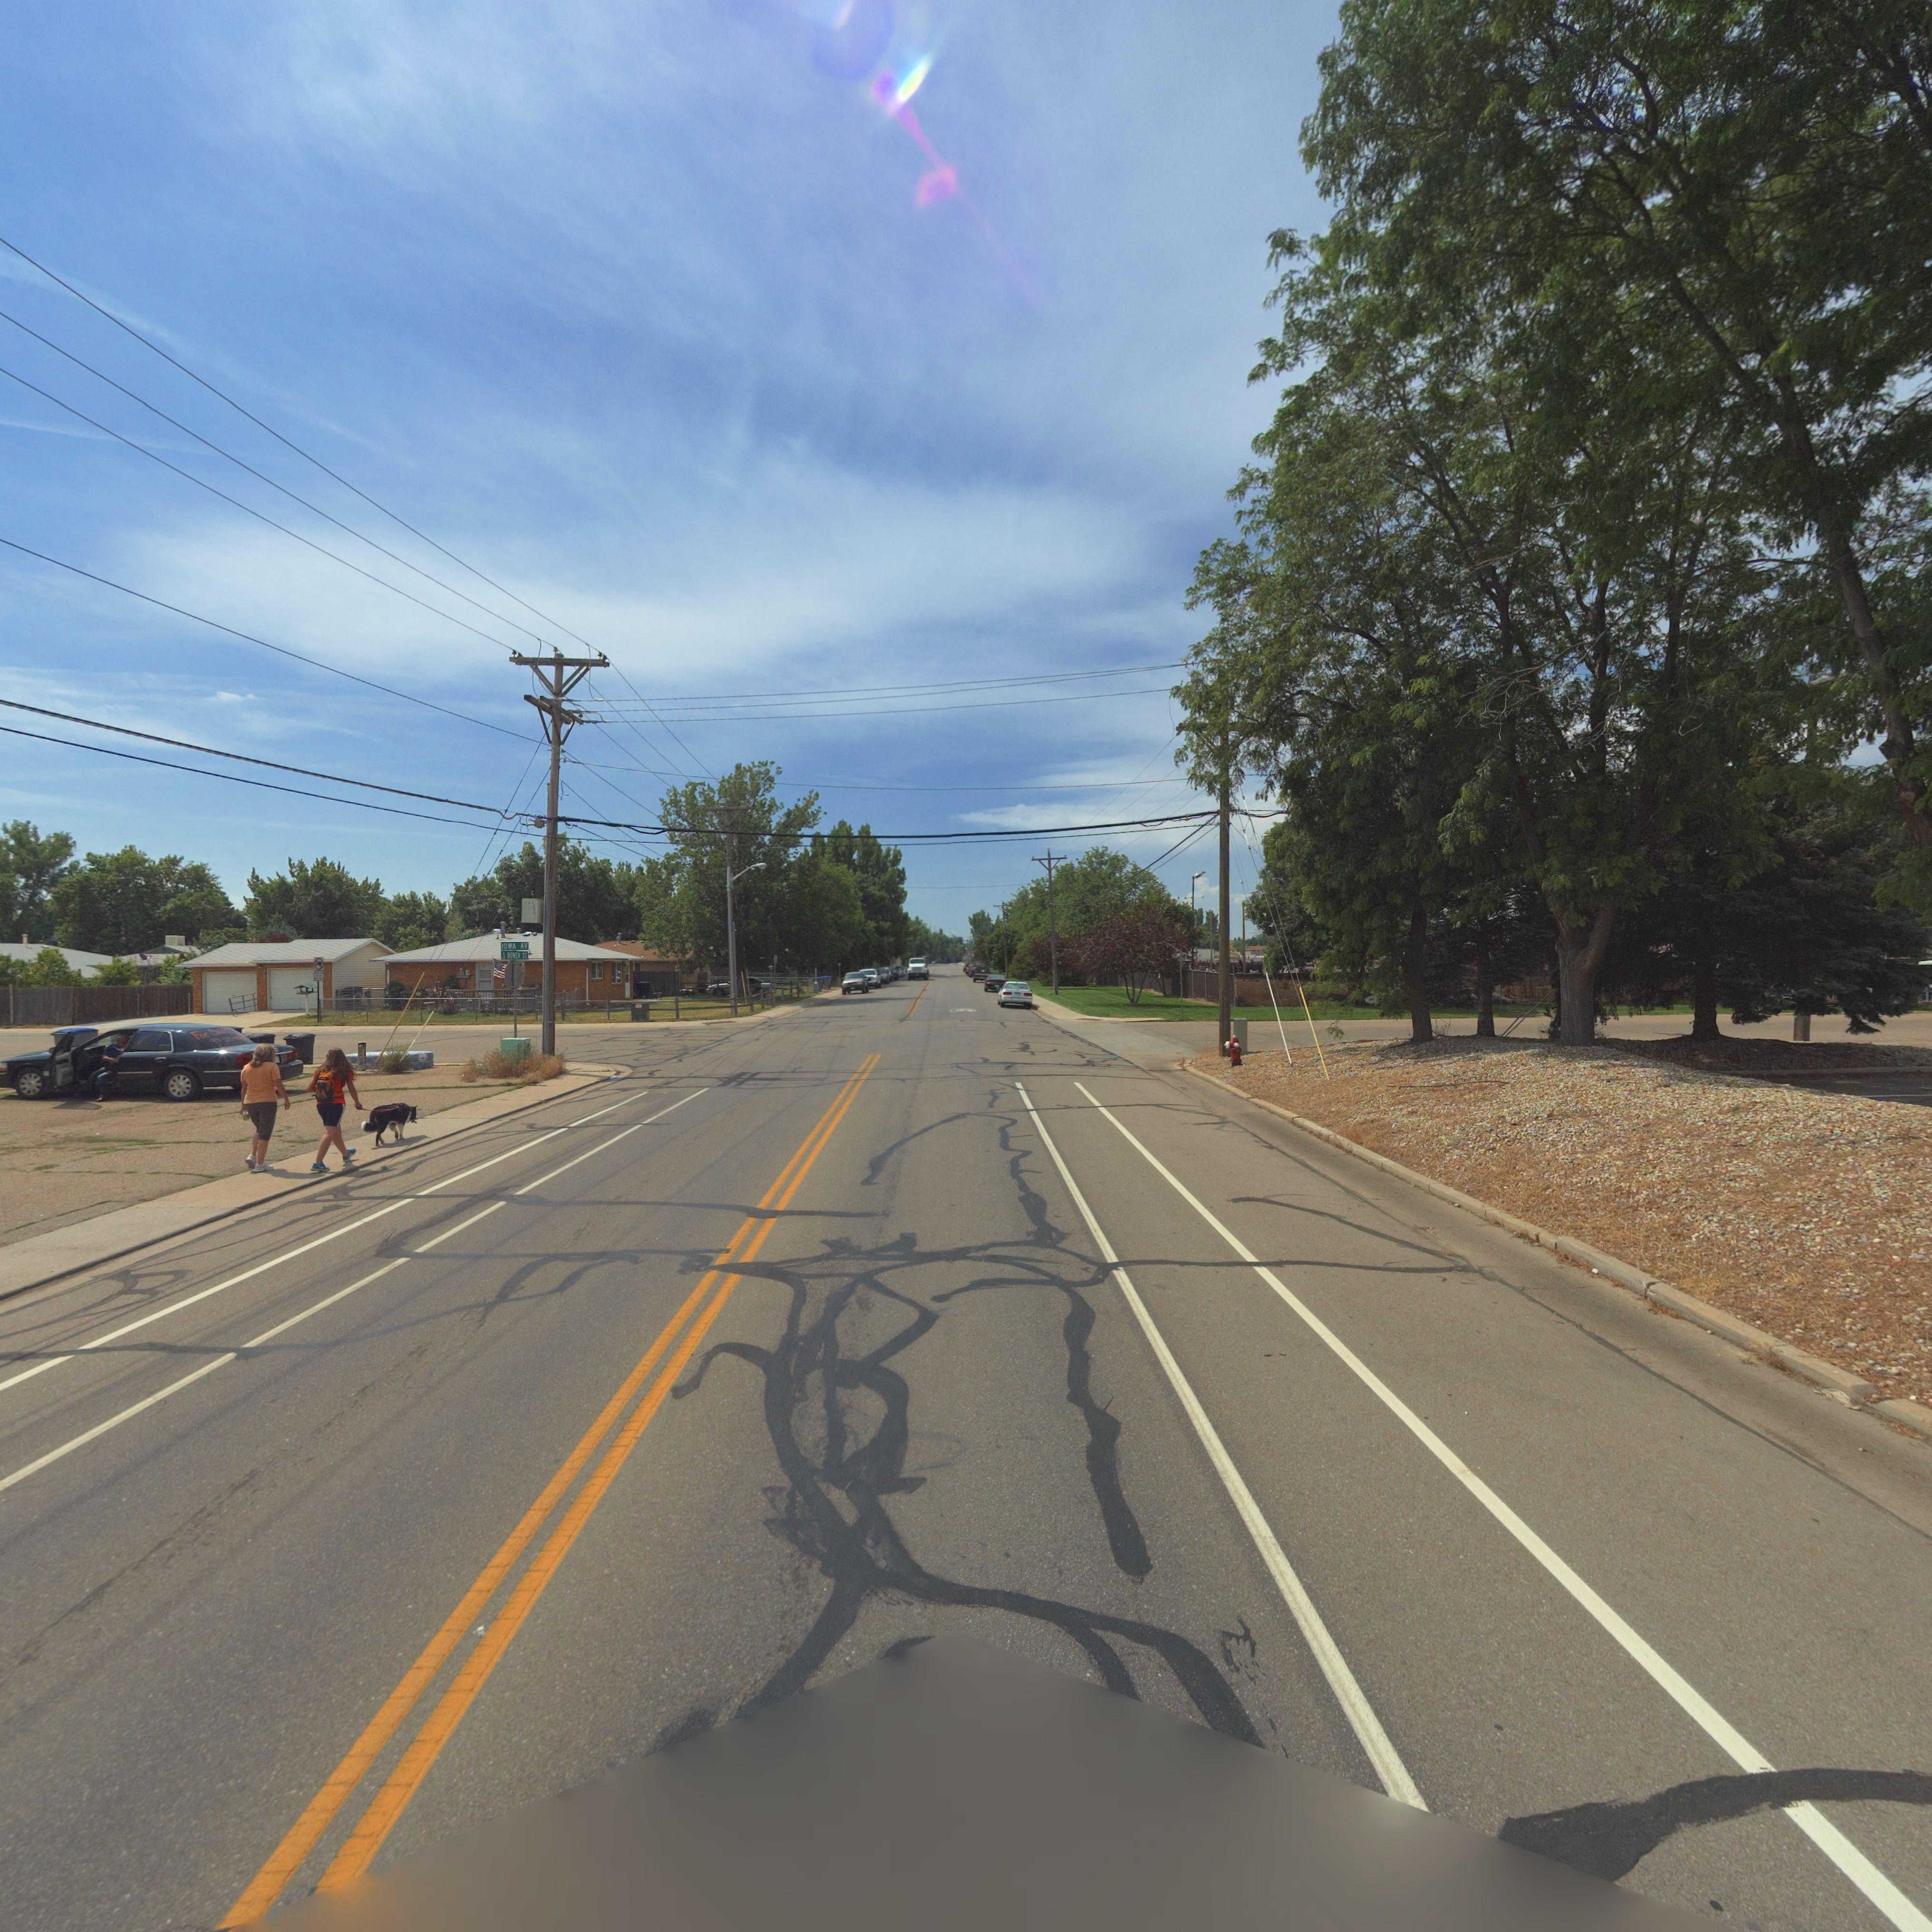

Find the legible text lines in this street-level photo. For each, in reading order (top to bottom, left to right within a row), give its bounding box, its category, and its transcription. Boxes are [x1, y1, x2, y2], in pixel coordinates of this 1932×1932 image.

[501, 942, 528, 949] StreetName: IOWA AV
[502, 952, 527, 958] StreetName: S BOWEN ST